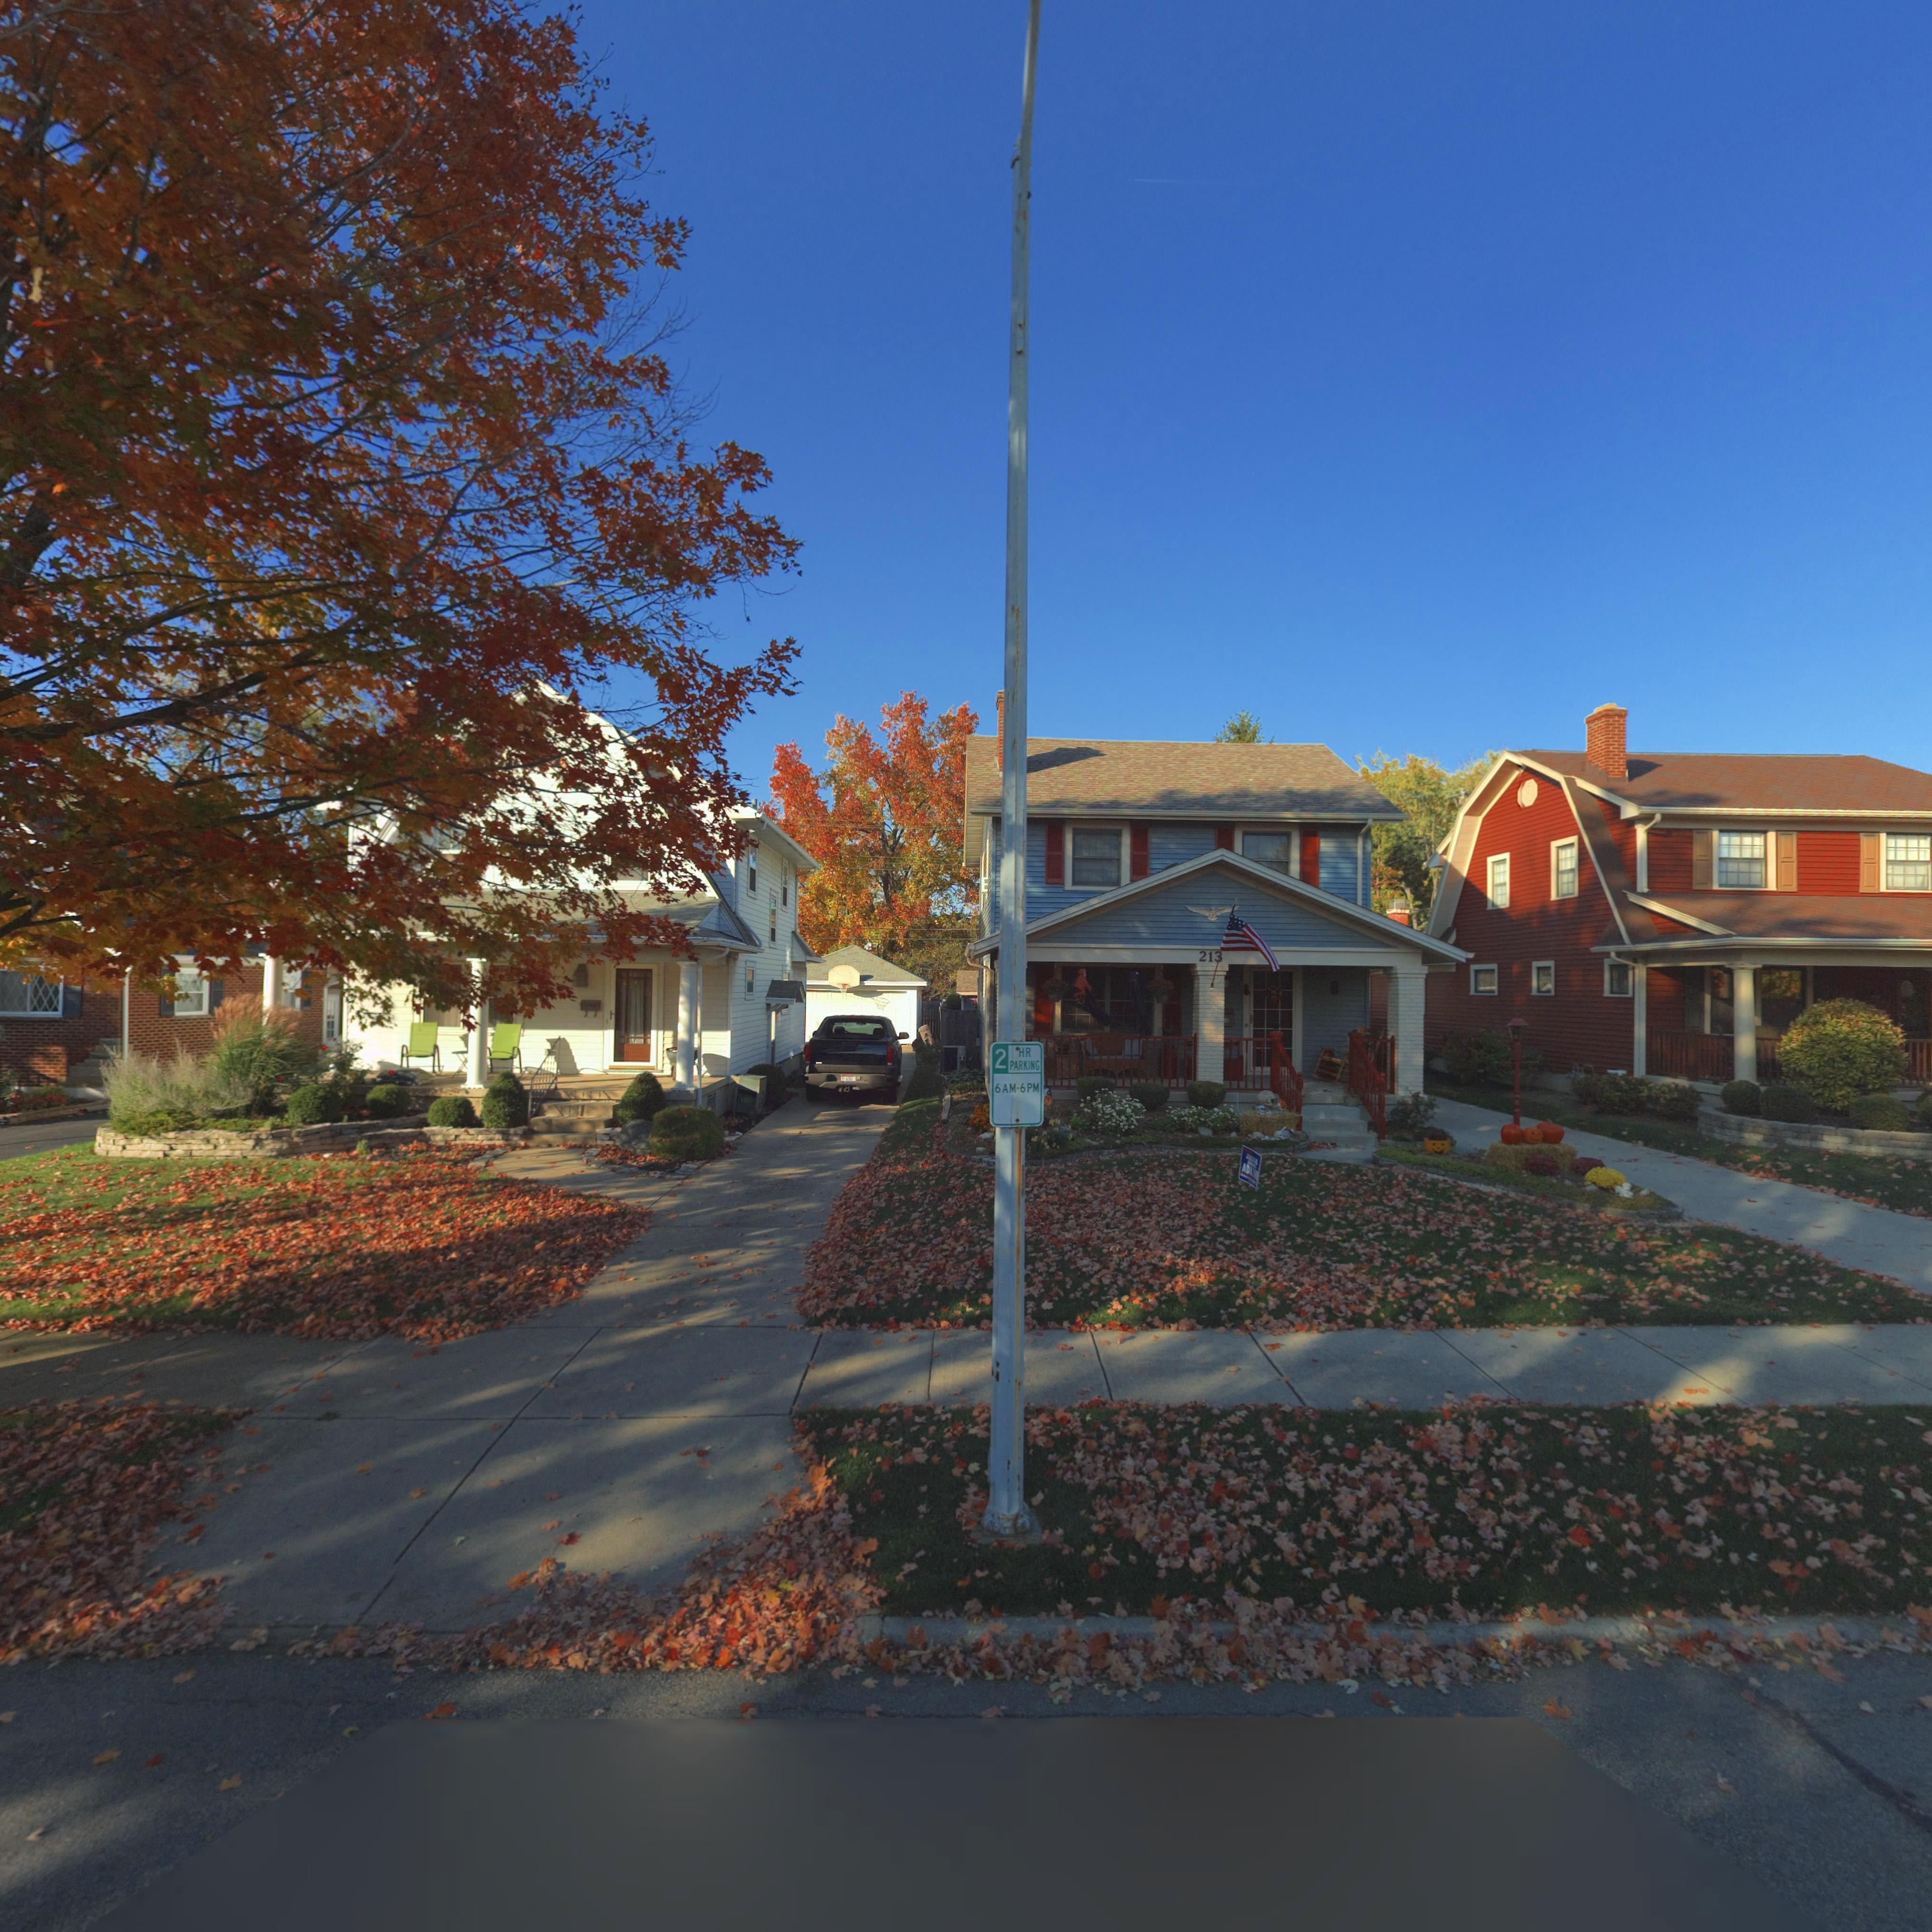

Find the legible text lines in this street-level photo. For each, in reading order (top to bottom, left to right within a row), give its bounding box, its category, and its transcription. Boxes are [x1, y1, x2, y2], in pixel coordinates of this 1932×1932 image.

[1199, 950, 1223, 962] StreetNumber: 213